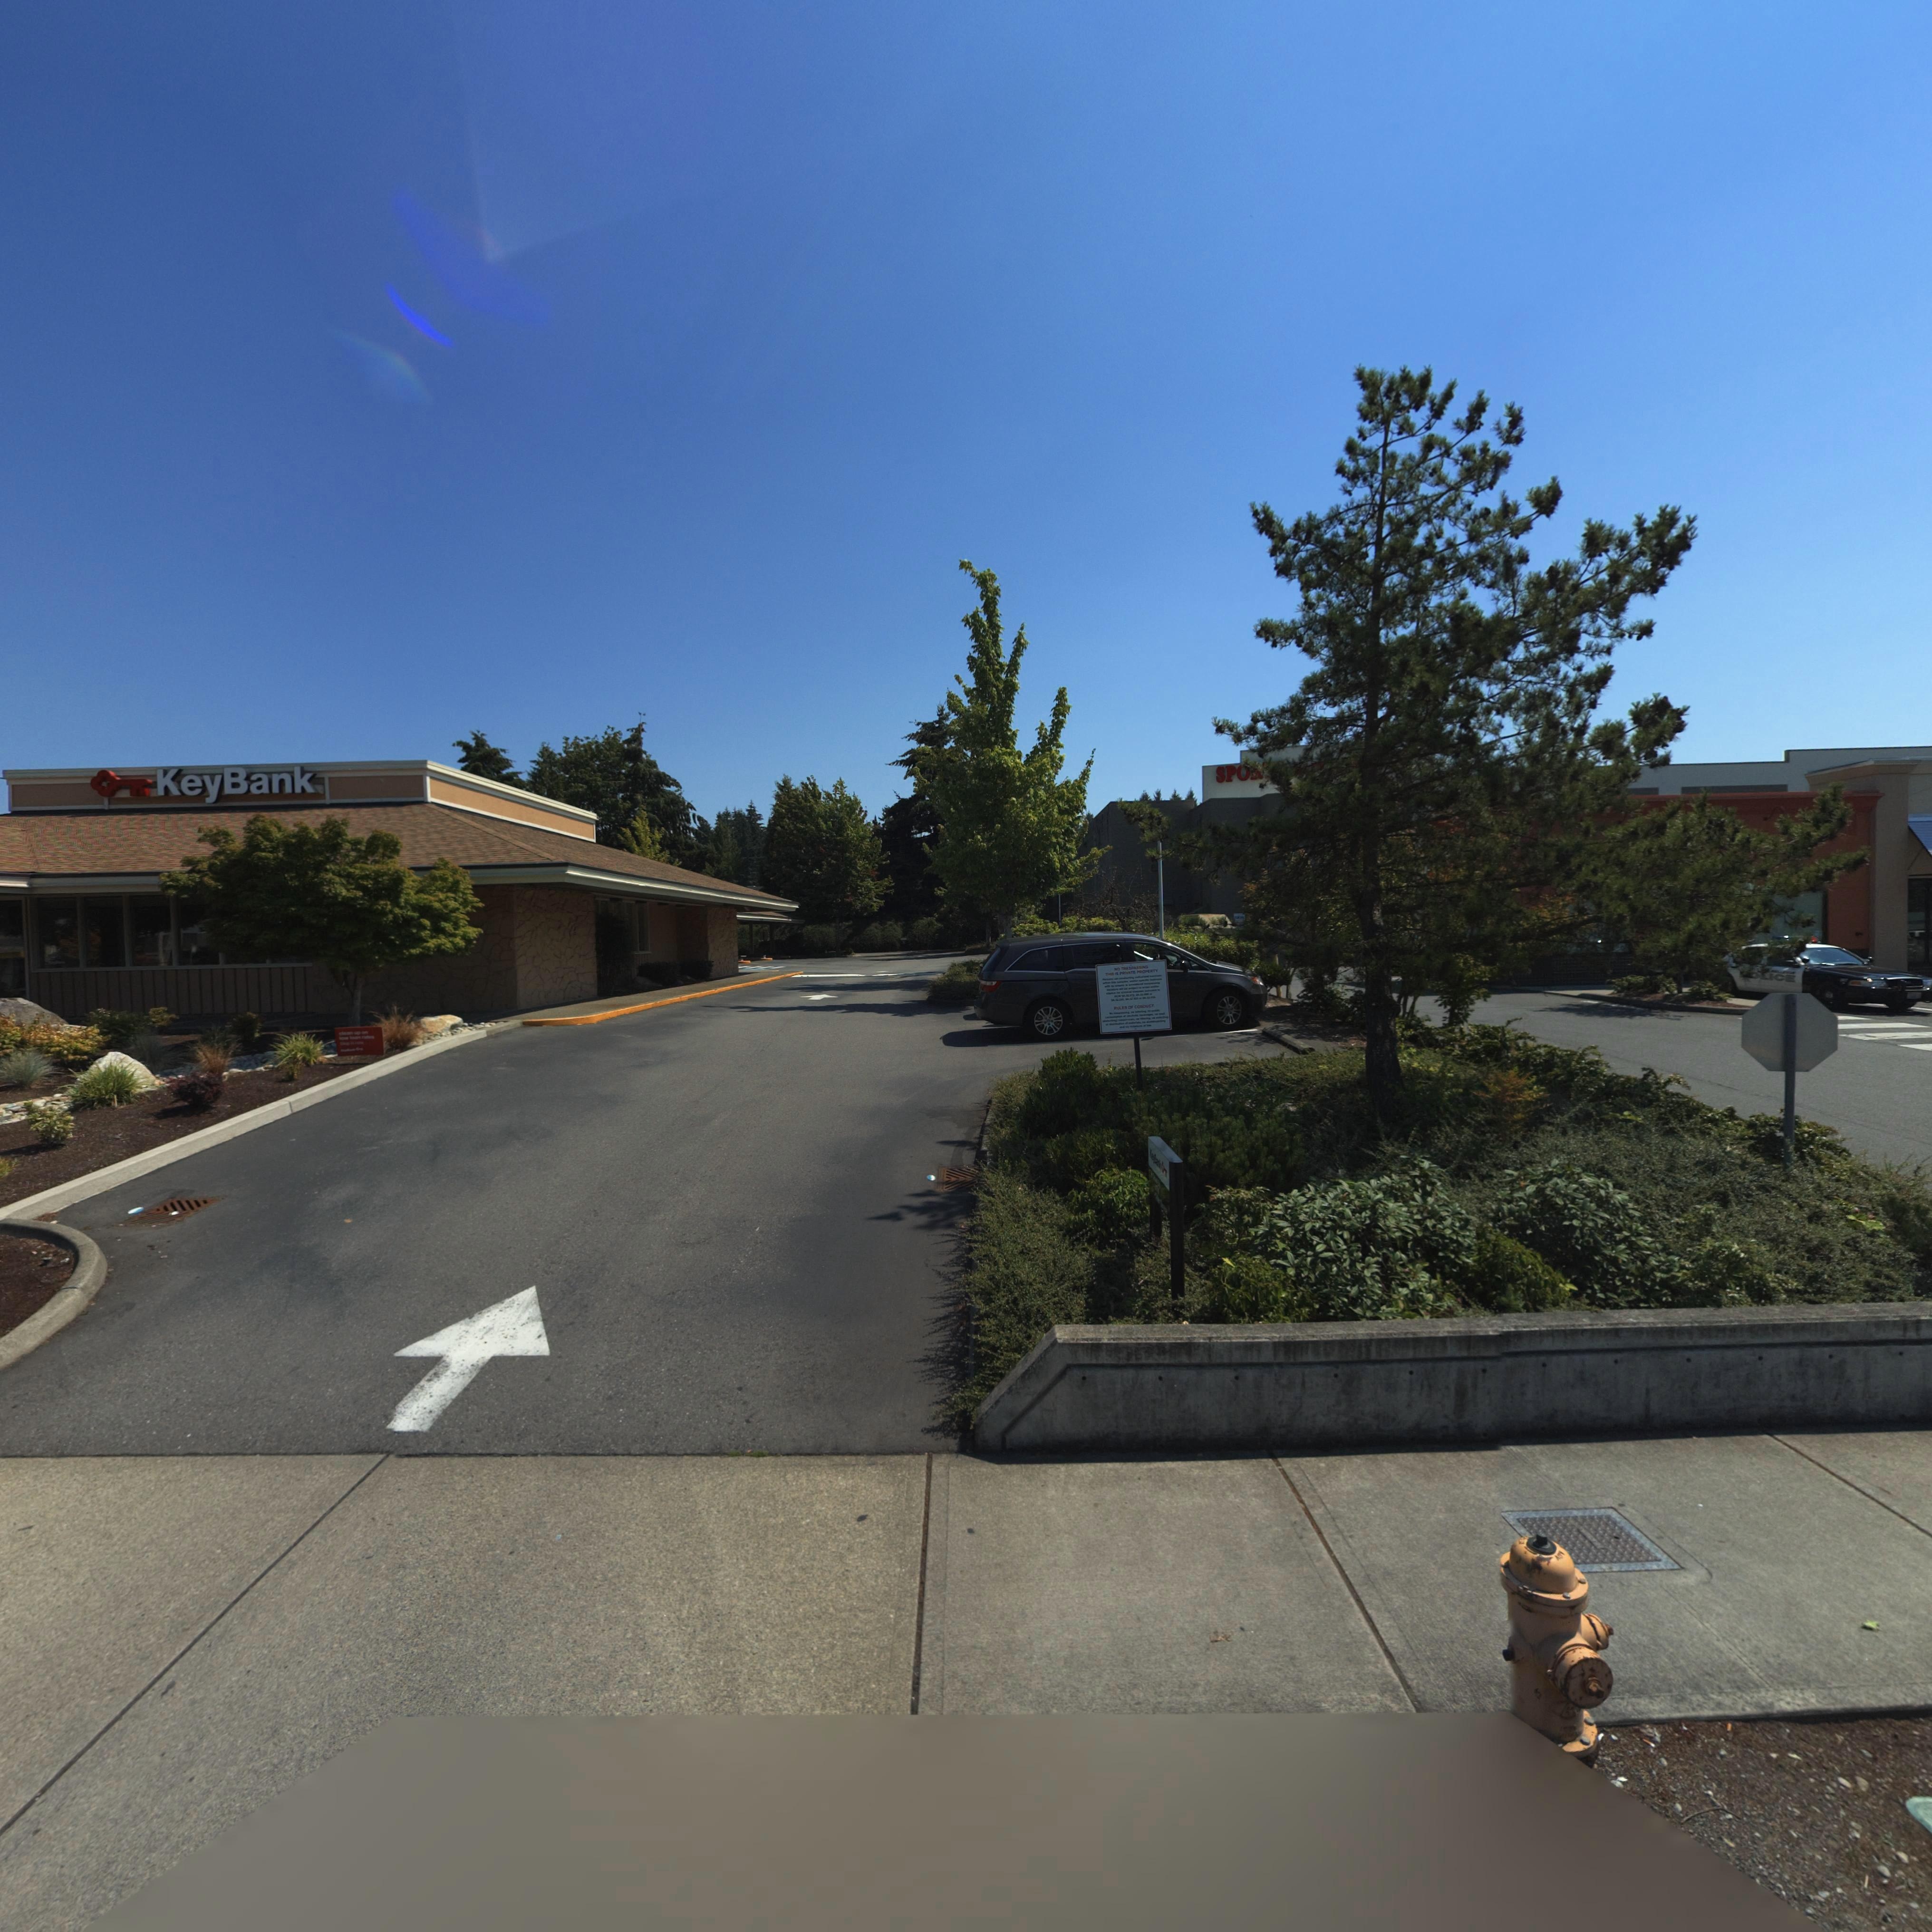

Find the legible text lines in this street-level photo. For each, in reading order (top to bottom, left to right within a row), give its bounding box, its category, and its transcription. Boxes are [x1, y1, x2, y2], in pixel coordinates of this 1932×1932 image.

[155, 765, 319, 805] BusinessName: KeyBank
[1216, 763, 1250, 783] BusinessName: SP*